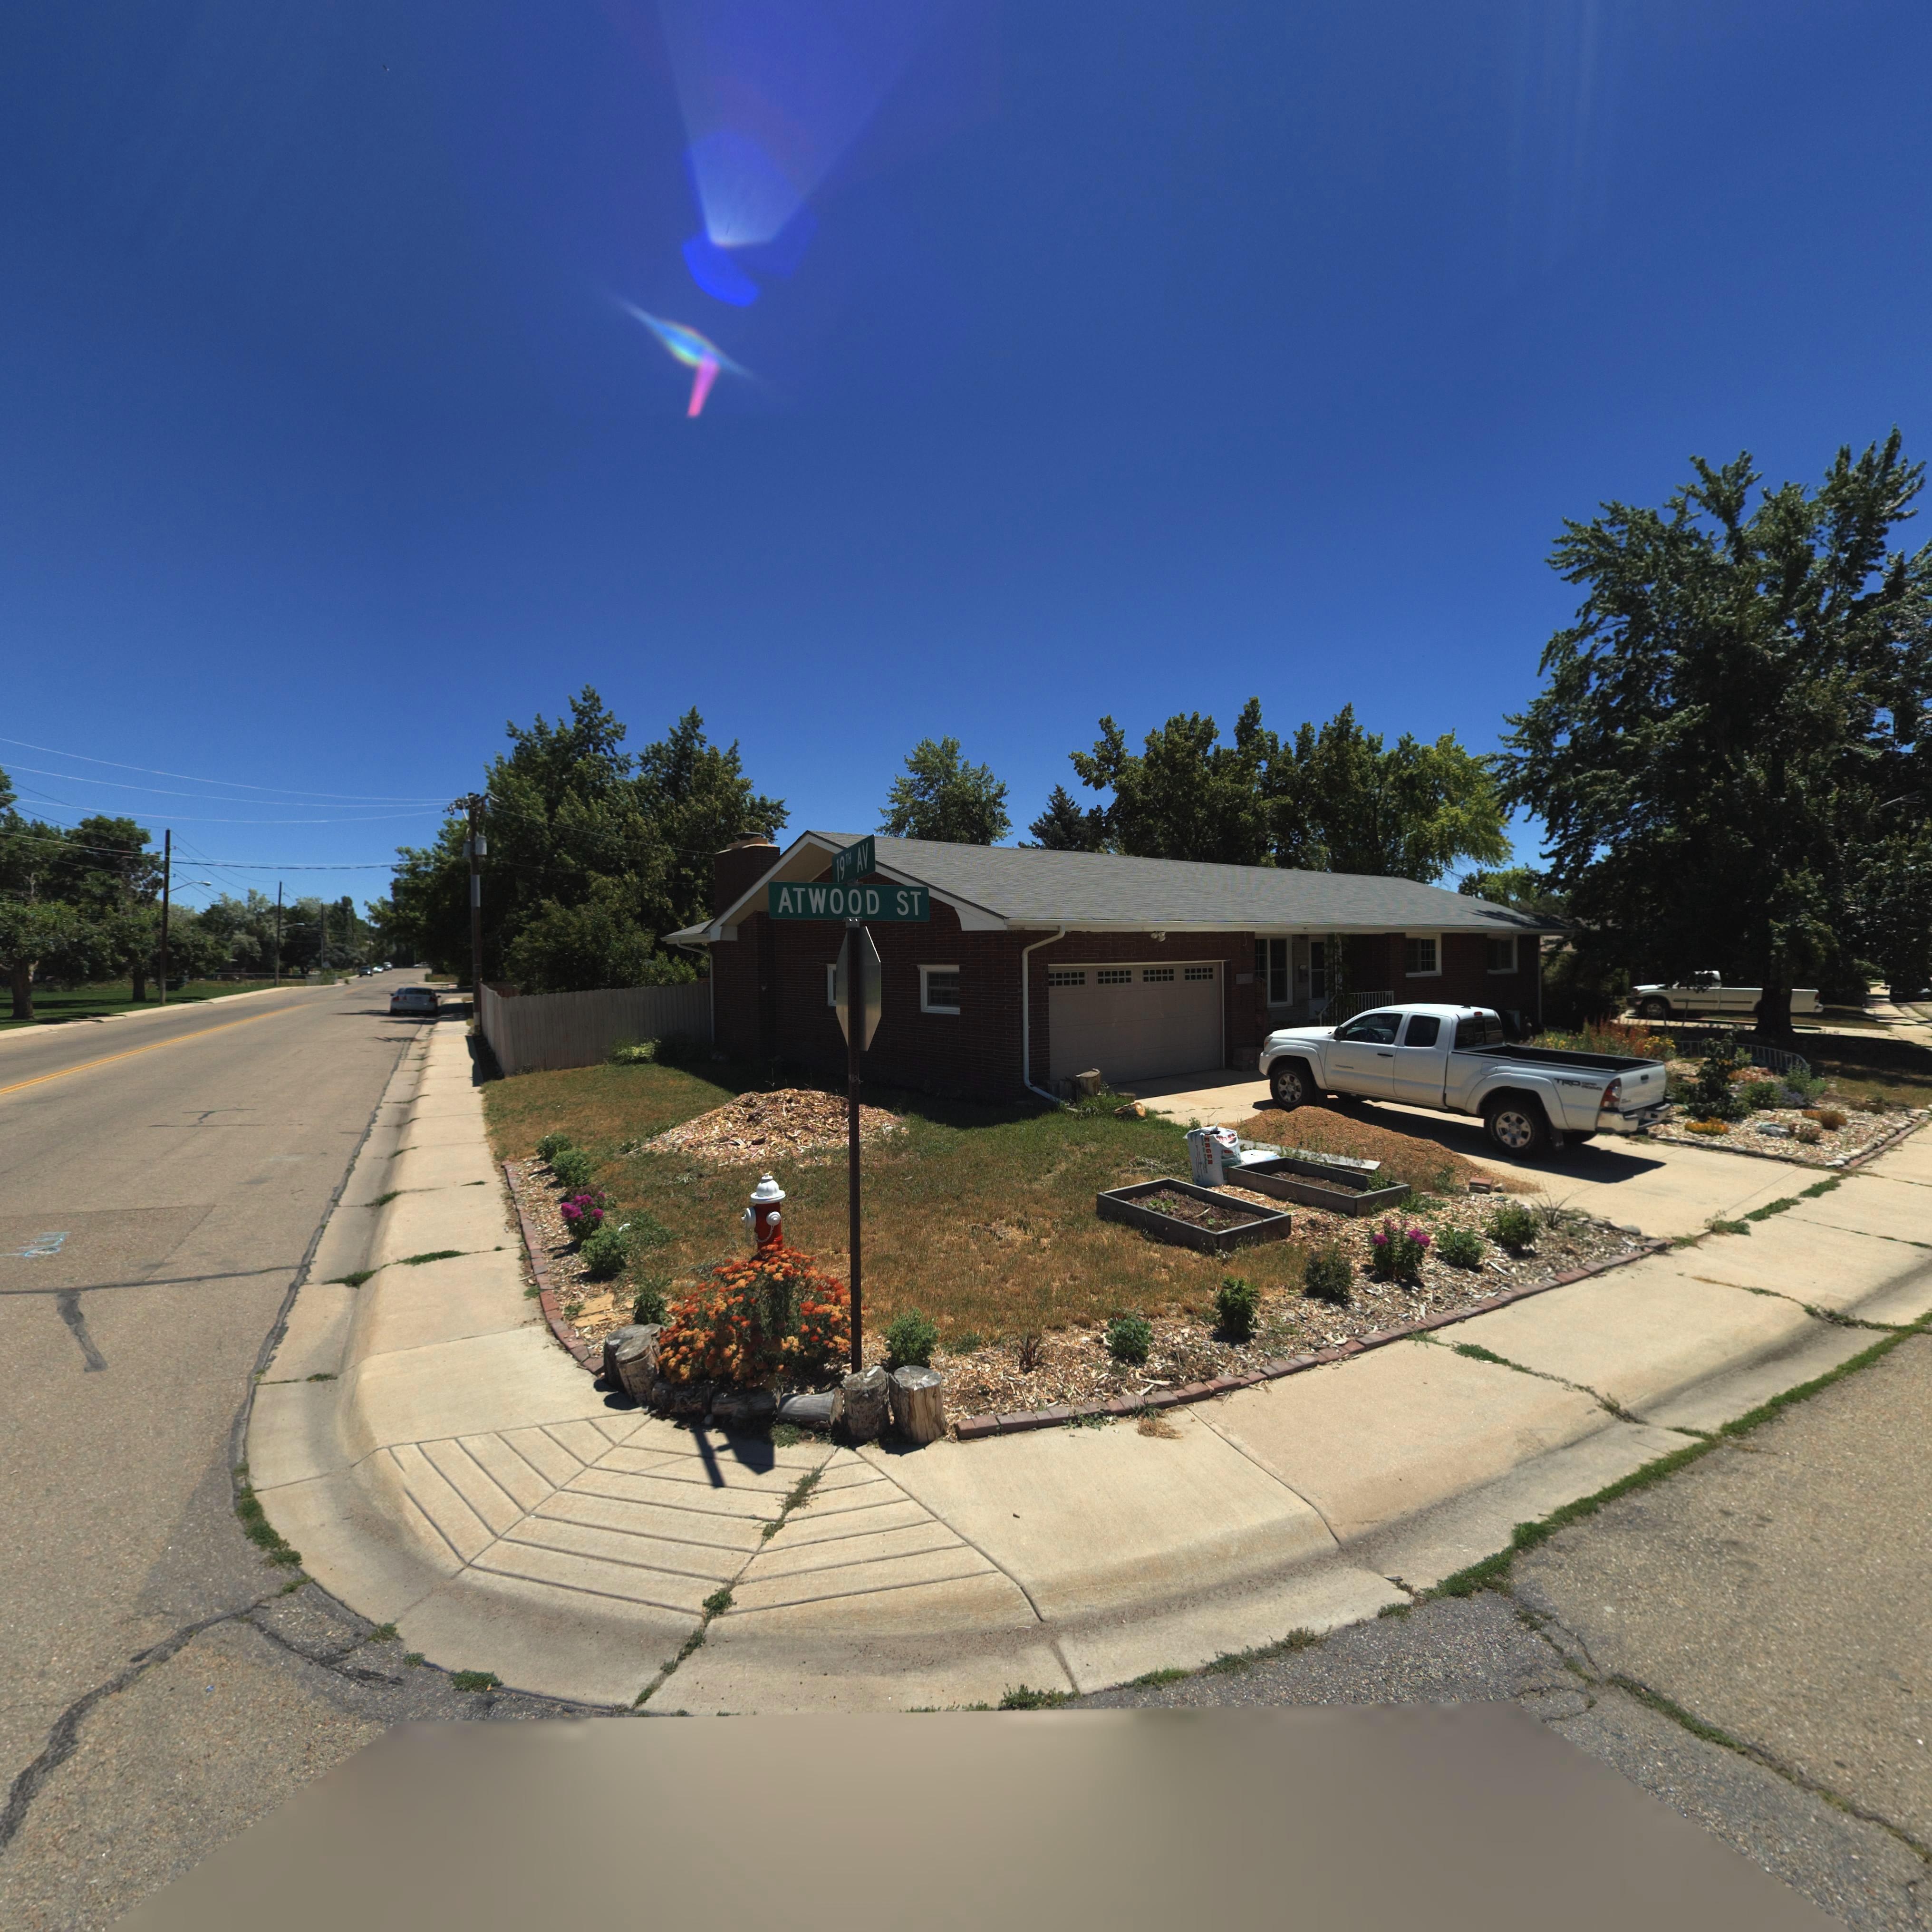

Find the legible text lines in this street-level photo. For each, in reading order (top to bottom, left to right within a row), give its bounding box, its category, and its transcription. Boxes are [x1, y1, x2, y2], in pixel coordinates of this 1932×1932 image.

[835, 841, 869, 883] StreetName: 19TH AV
[778, 887, 921, 916] StreetName: ATWOOD ST